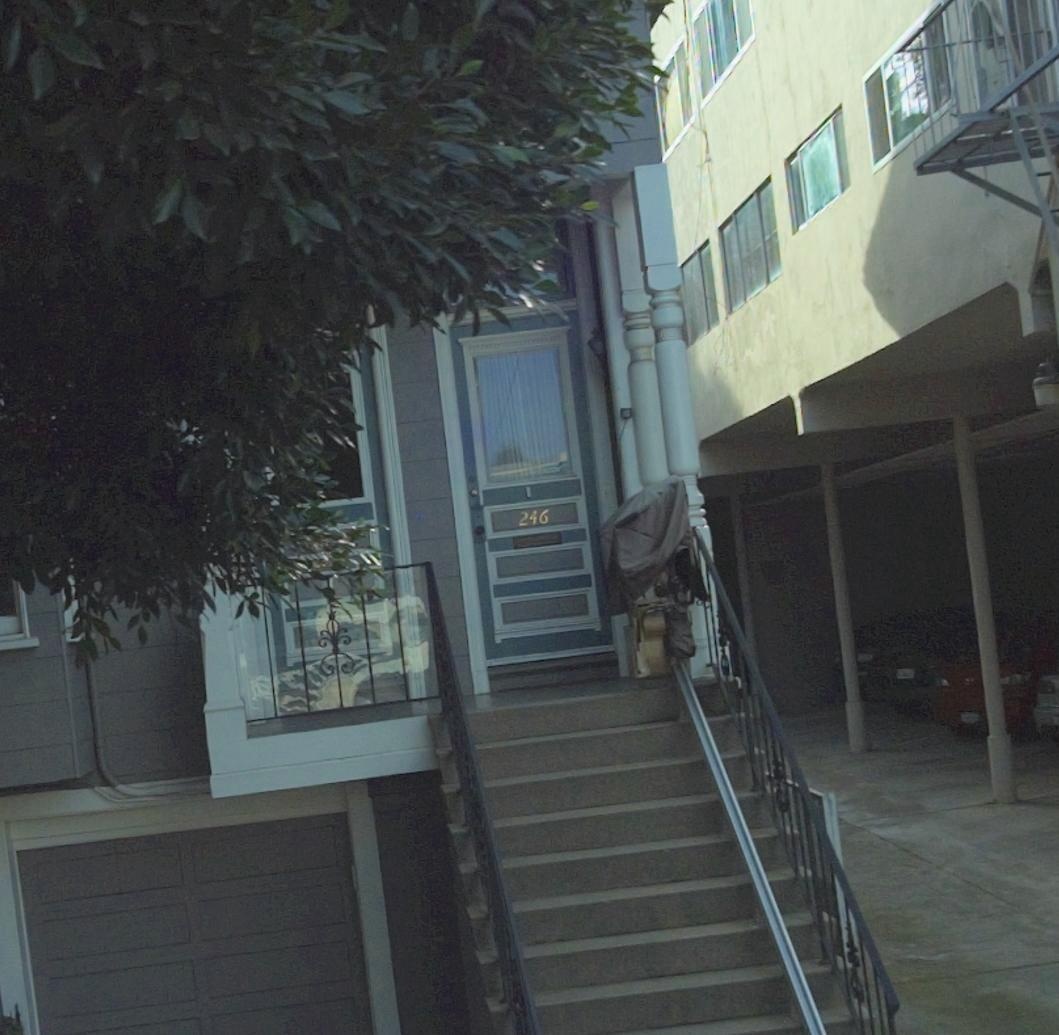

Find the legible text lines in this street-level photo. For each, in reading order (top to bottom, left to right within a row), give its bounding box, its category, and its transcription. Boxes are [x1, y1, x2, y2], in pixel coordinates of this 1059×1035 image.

[525, 486, 532, 498] StreetNumber: 1
[519, 508, 550, 527] StreetNumber: 246